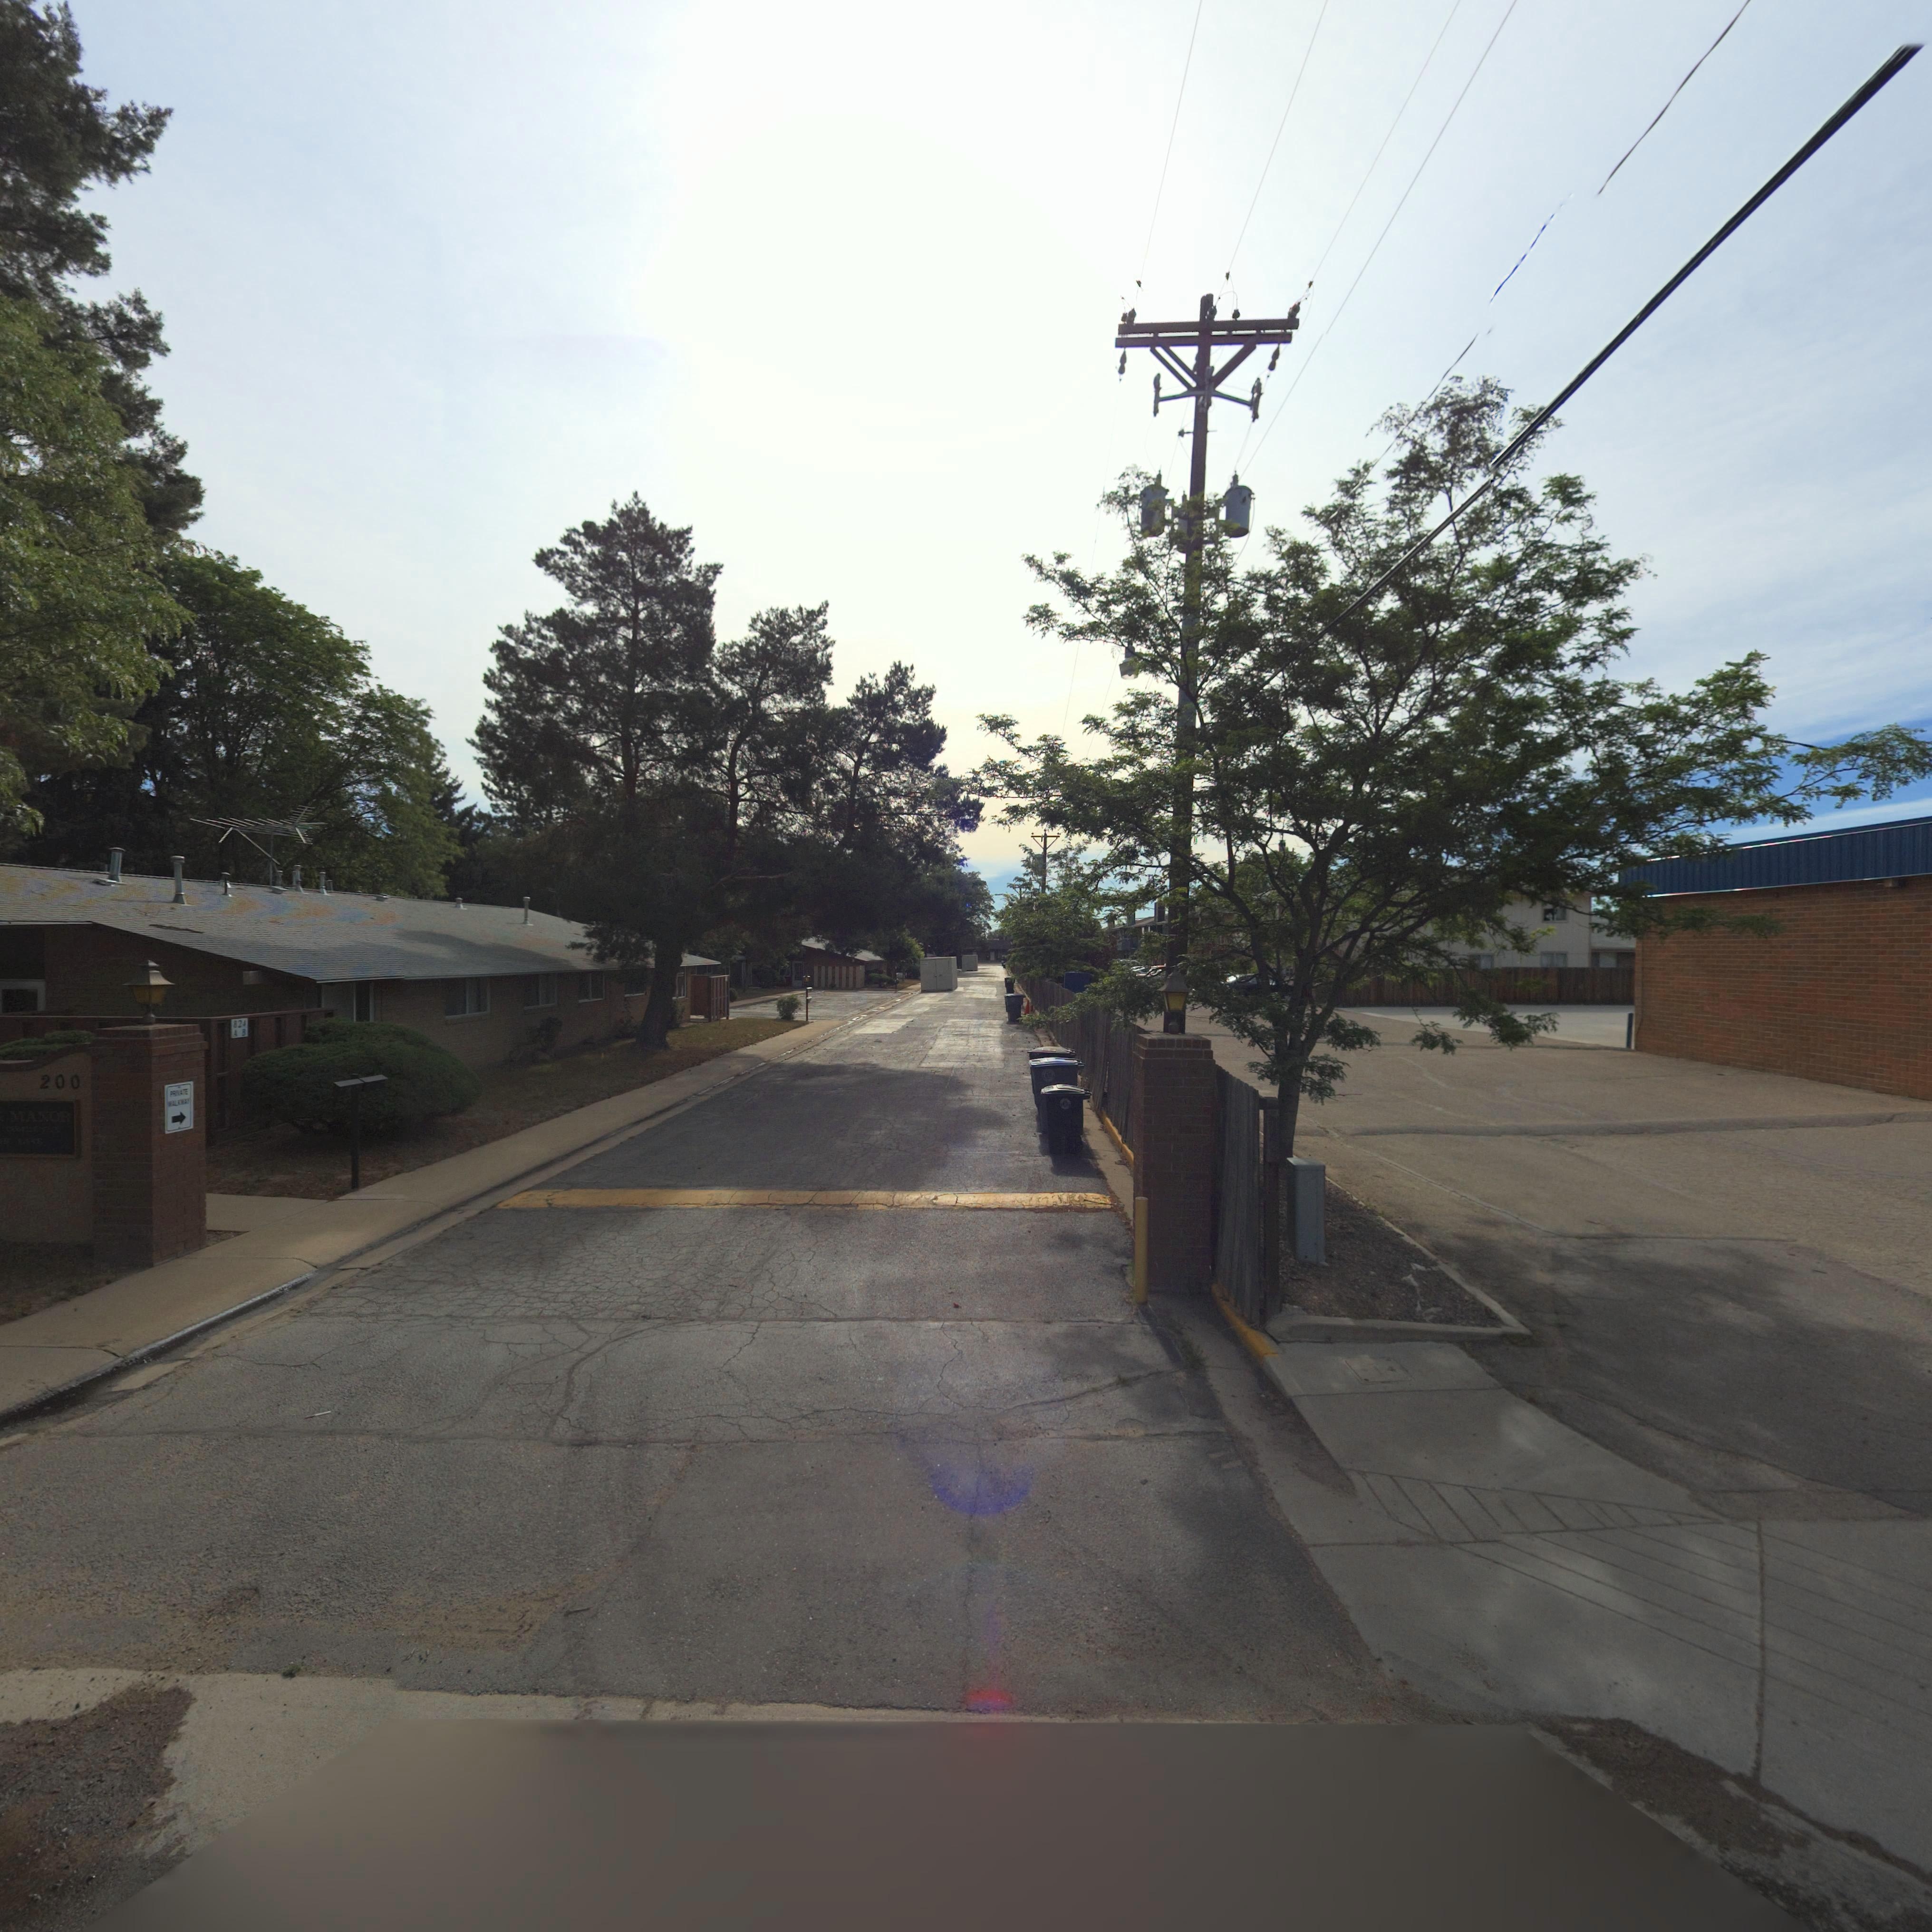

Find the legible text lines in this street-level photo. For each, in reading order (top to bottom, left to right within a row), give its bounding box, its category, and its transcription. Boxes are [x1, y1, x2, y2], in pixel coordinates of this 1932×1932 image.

[232, 1018, 247, 1028] StreetNumber: 824
[231, 1028, 247, 1037] StreetNumber: A B
[37, 1072, 83, 1092] StreetNumber: 200
[8, 1108, 72, 1124] BusinessName: MANOR